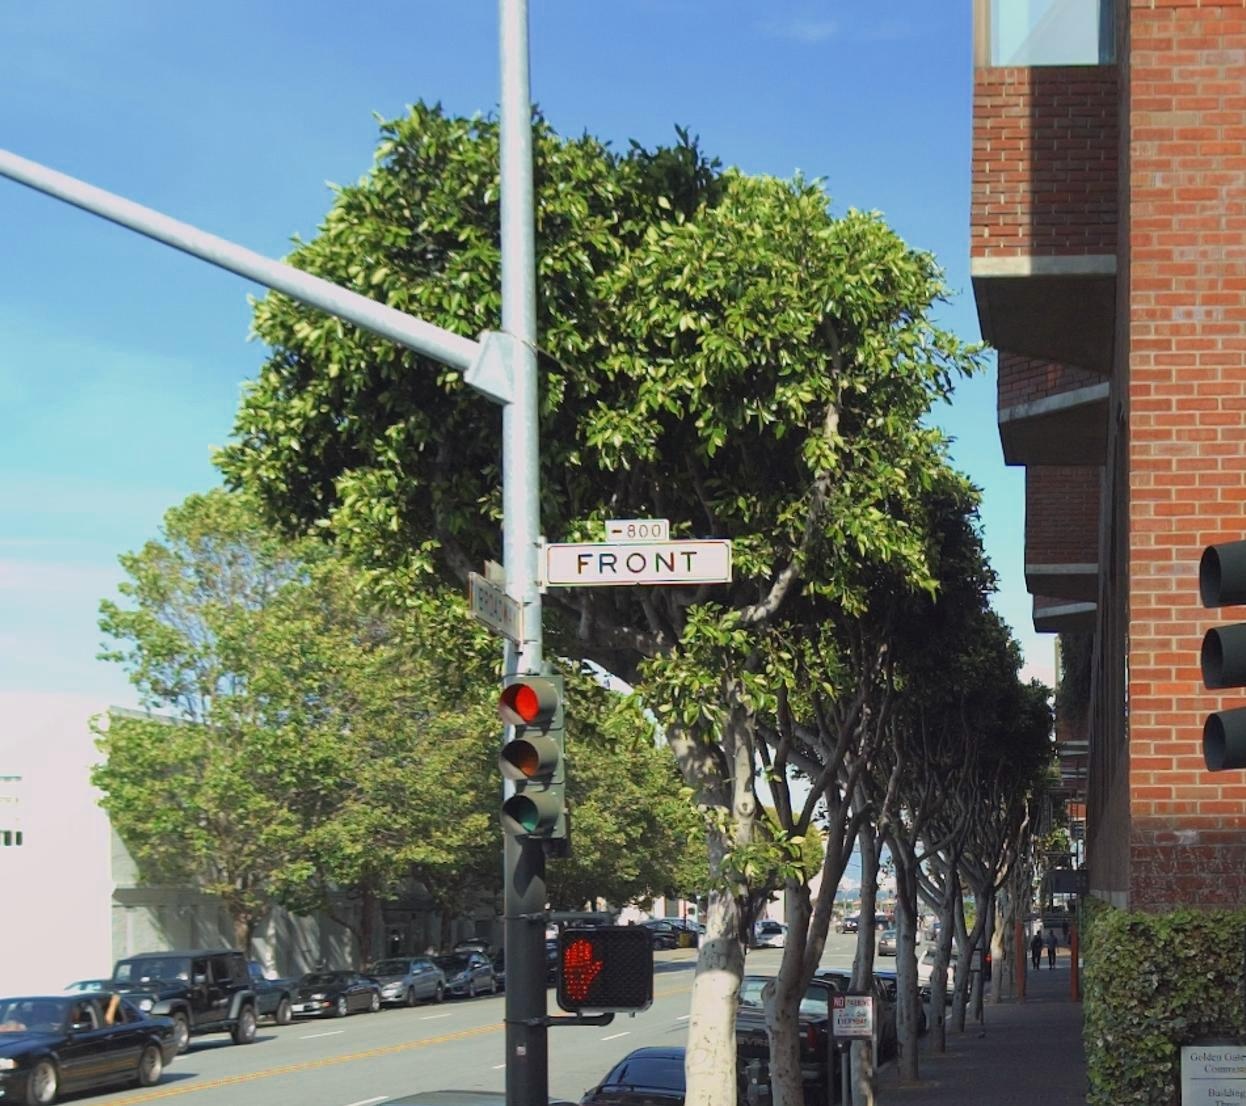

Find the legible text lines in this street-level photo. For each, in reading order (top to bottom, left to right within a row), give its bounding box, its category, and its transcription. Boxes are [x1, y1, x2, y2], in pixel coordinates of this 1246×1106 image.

[608, 522, 664, 541] StreetNumberRange: <-800
[574, 549, 699, 577] StreetName: FRONT
[475, 580, 521, 641] StreetName: BROADWA*
[832, 995, 846, 1009] None: NO
[733, 1033, 767, 1050] None: EVR
[1188, 1050, 1242, 1064] None: Golden Gat
[1202, 1061, 1242, 1076] None: Commu
[1206, 1085, 1243, 1099] None: Buildin